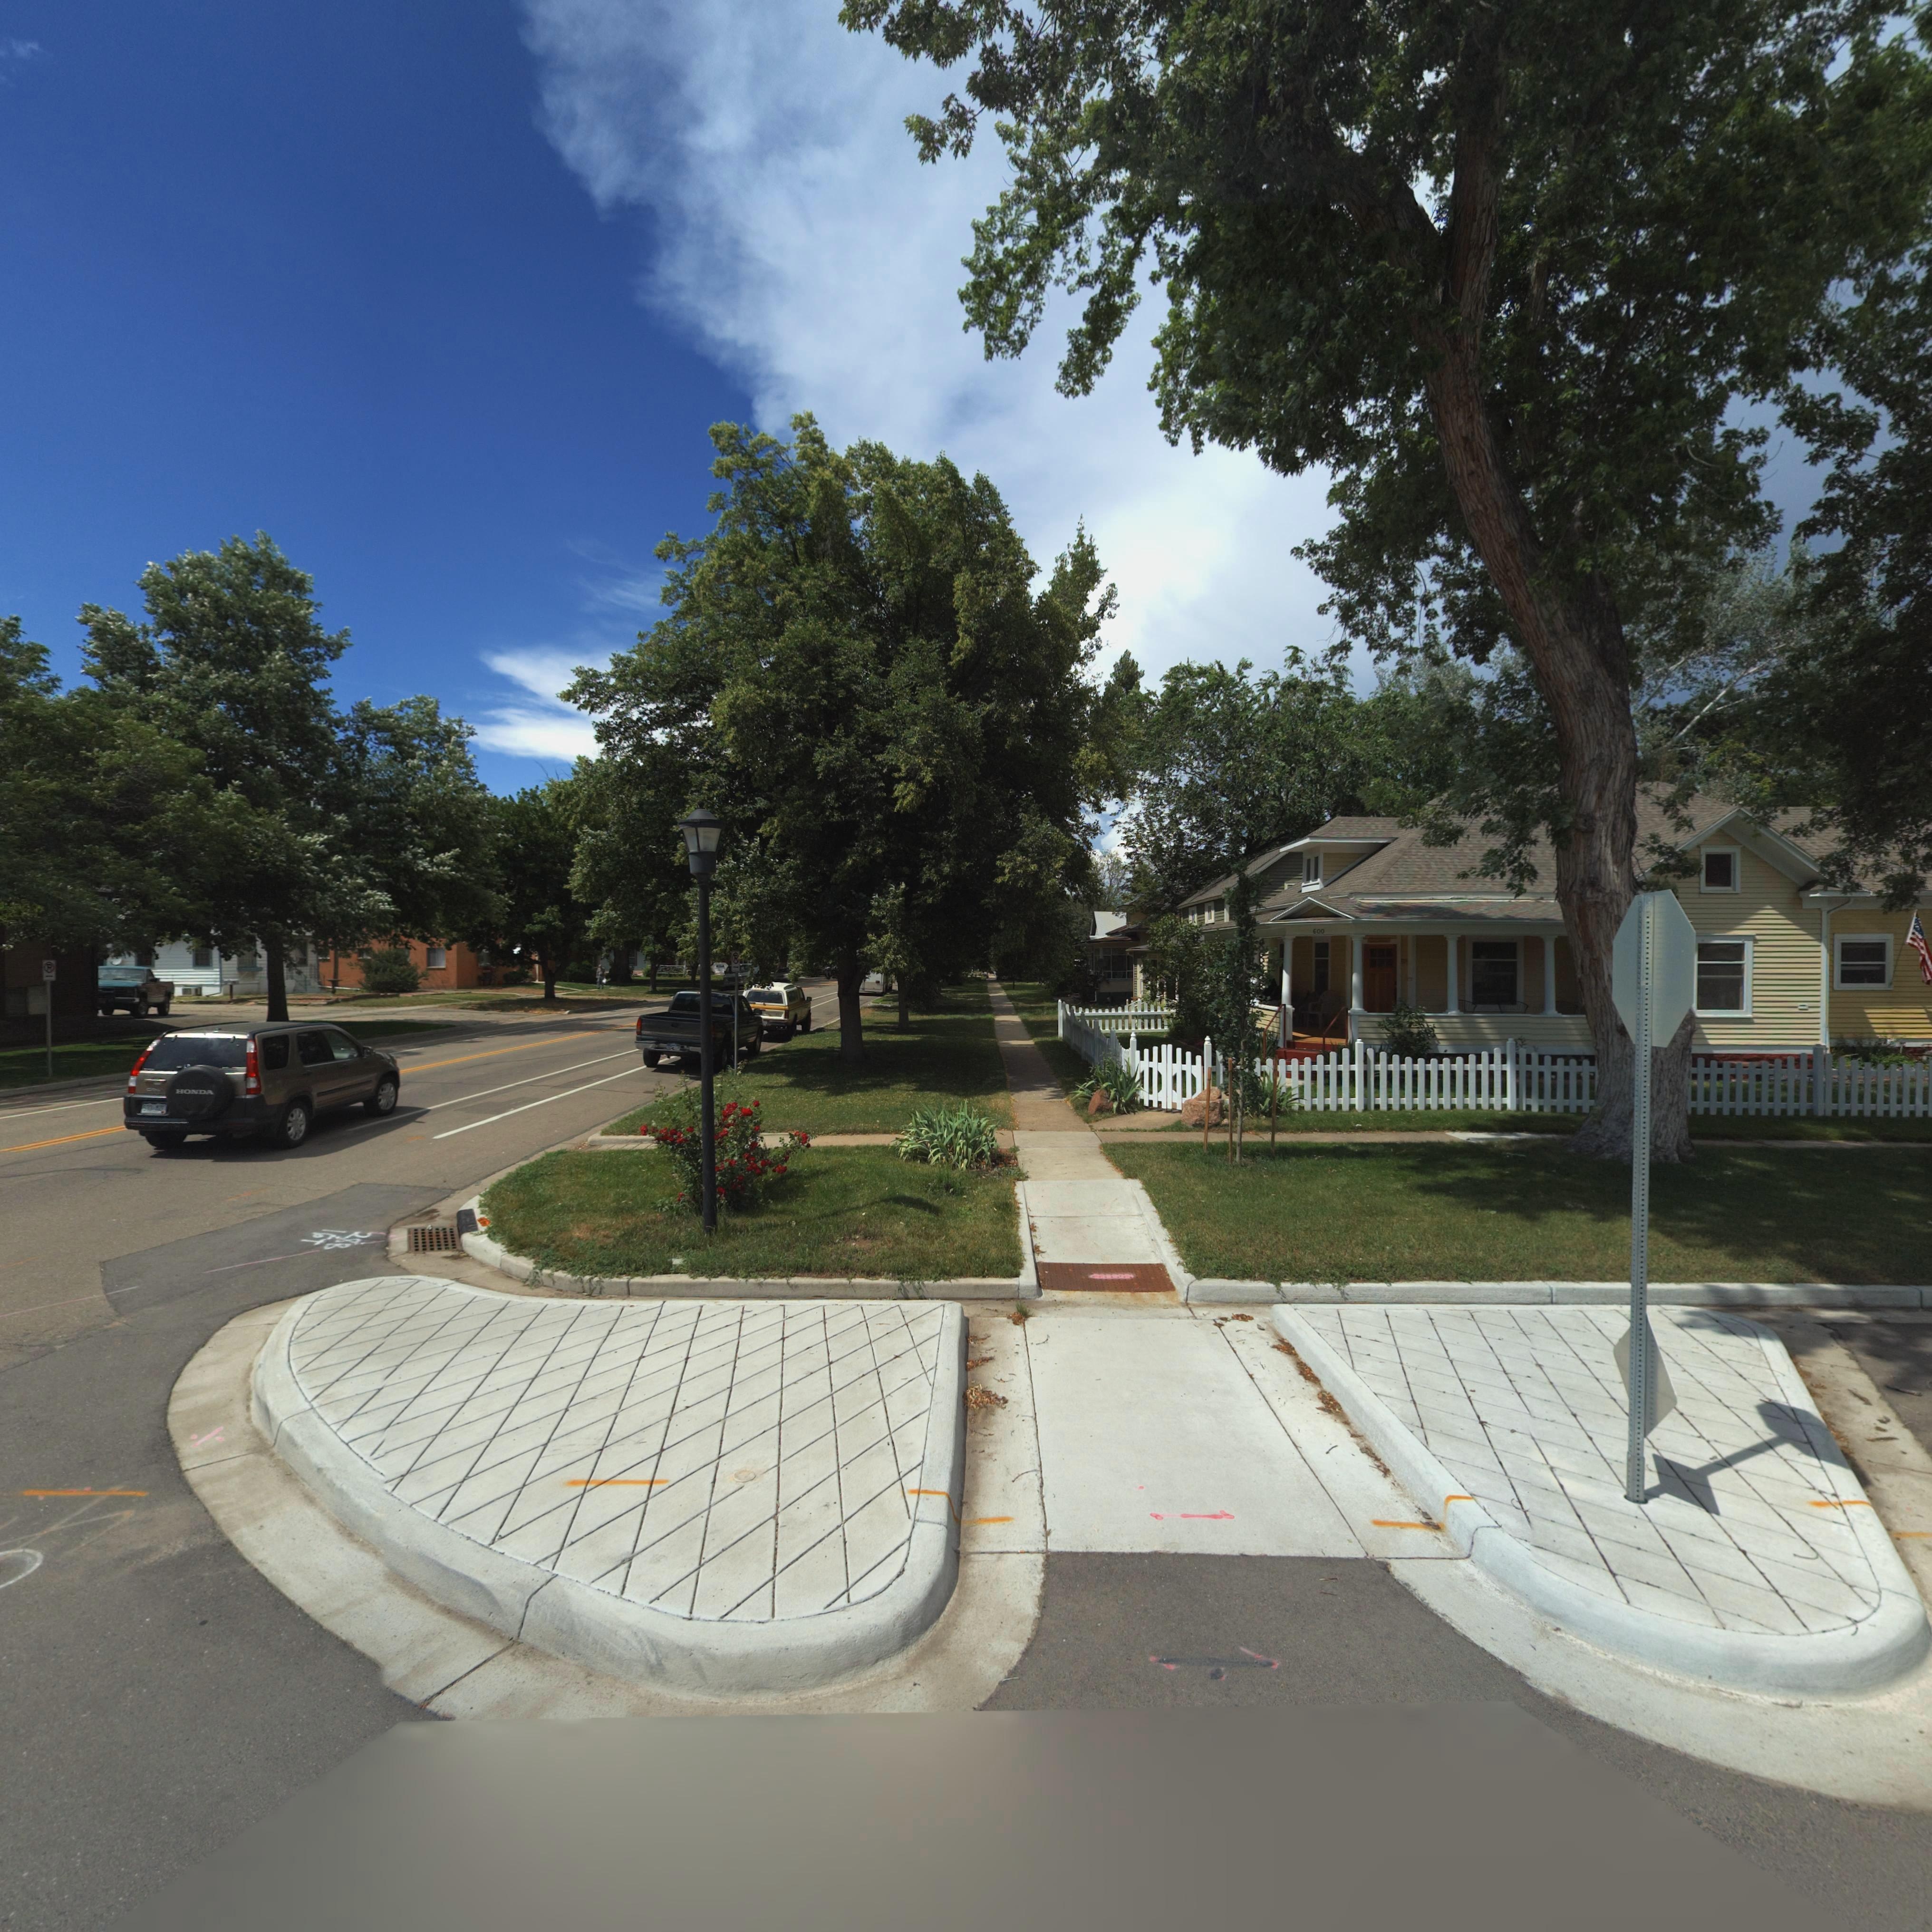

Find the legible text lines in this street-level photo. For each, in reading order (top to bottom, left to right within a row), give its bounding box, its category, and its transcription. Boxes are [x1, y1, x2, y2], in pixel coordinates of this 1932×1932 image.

[1312, 928, 1325, 934] StreetNumber: 600